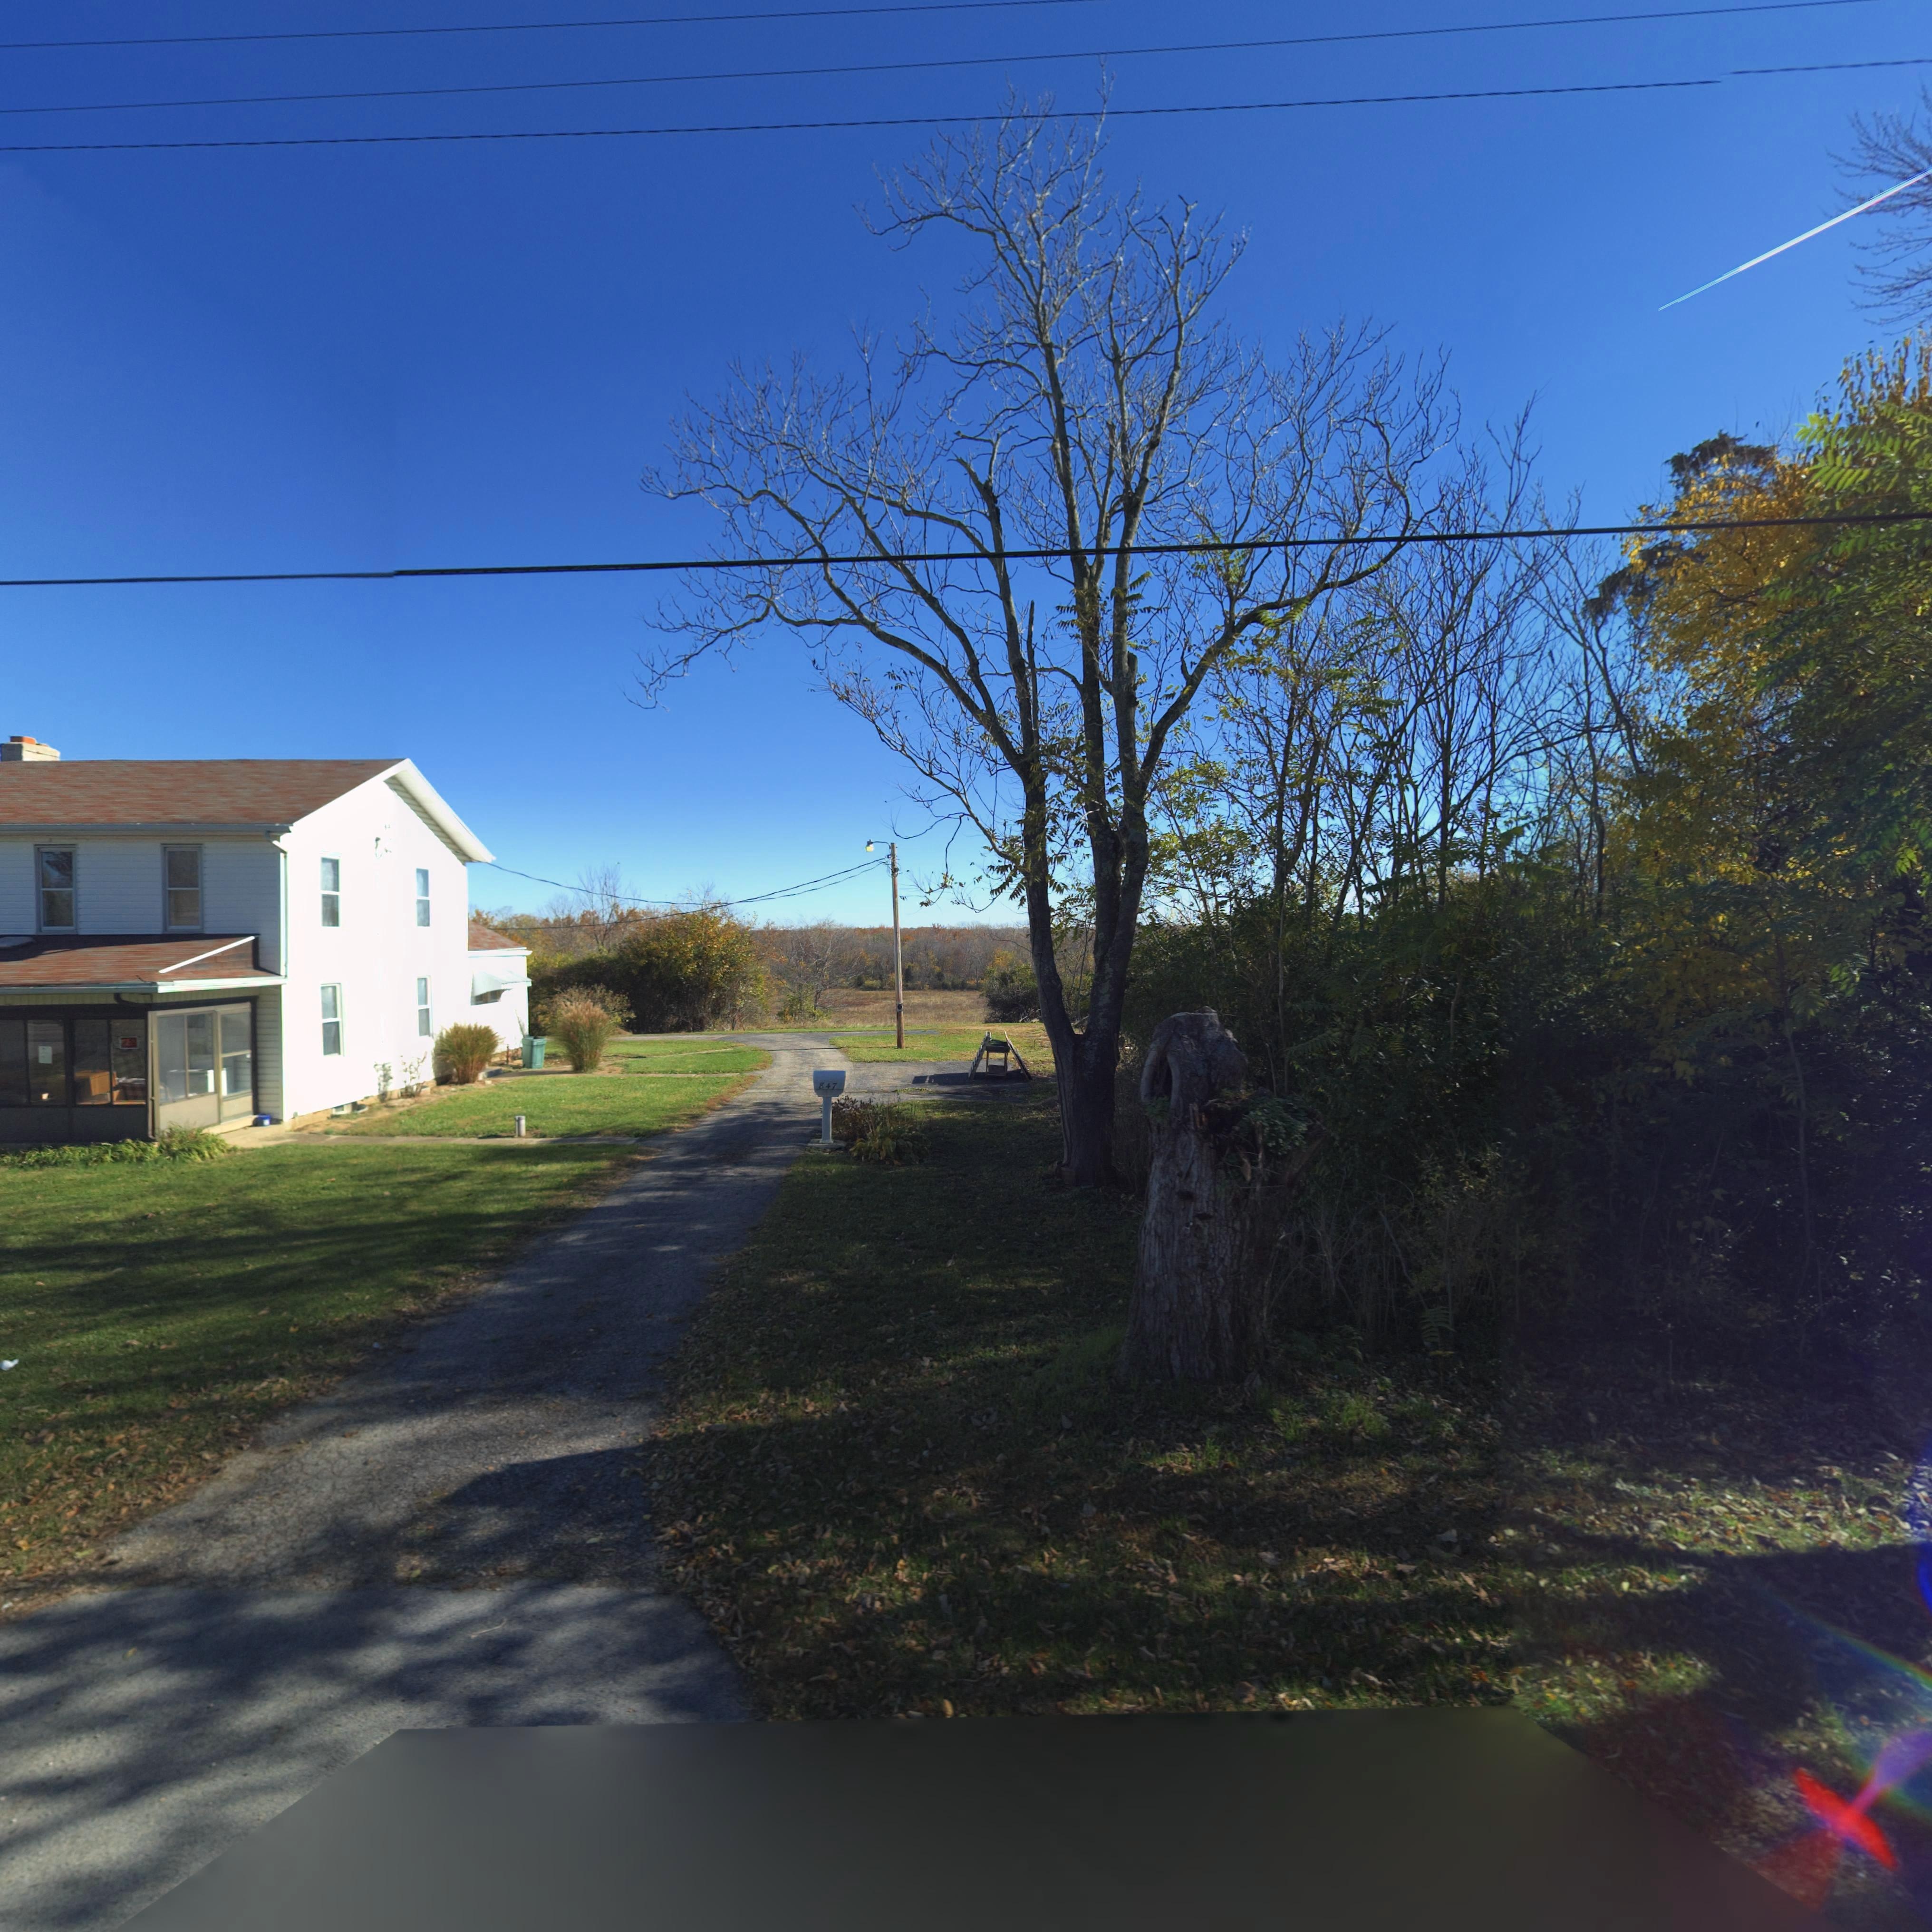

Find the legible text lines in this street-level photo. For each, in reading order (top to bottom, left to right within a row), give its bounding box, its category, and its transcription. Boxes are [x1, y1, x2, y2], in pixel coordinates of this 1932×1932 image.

[818, 1082, 838, 1090] StreetNumber: 847